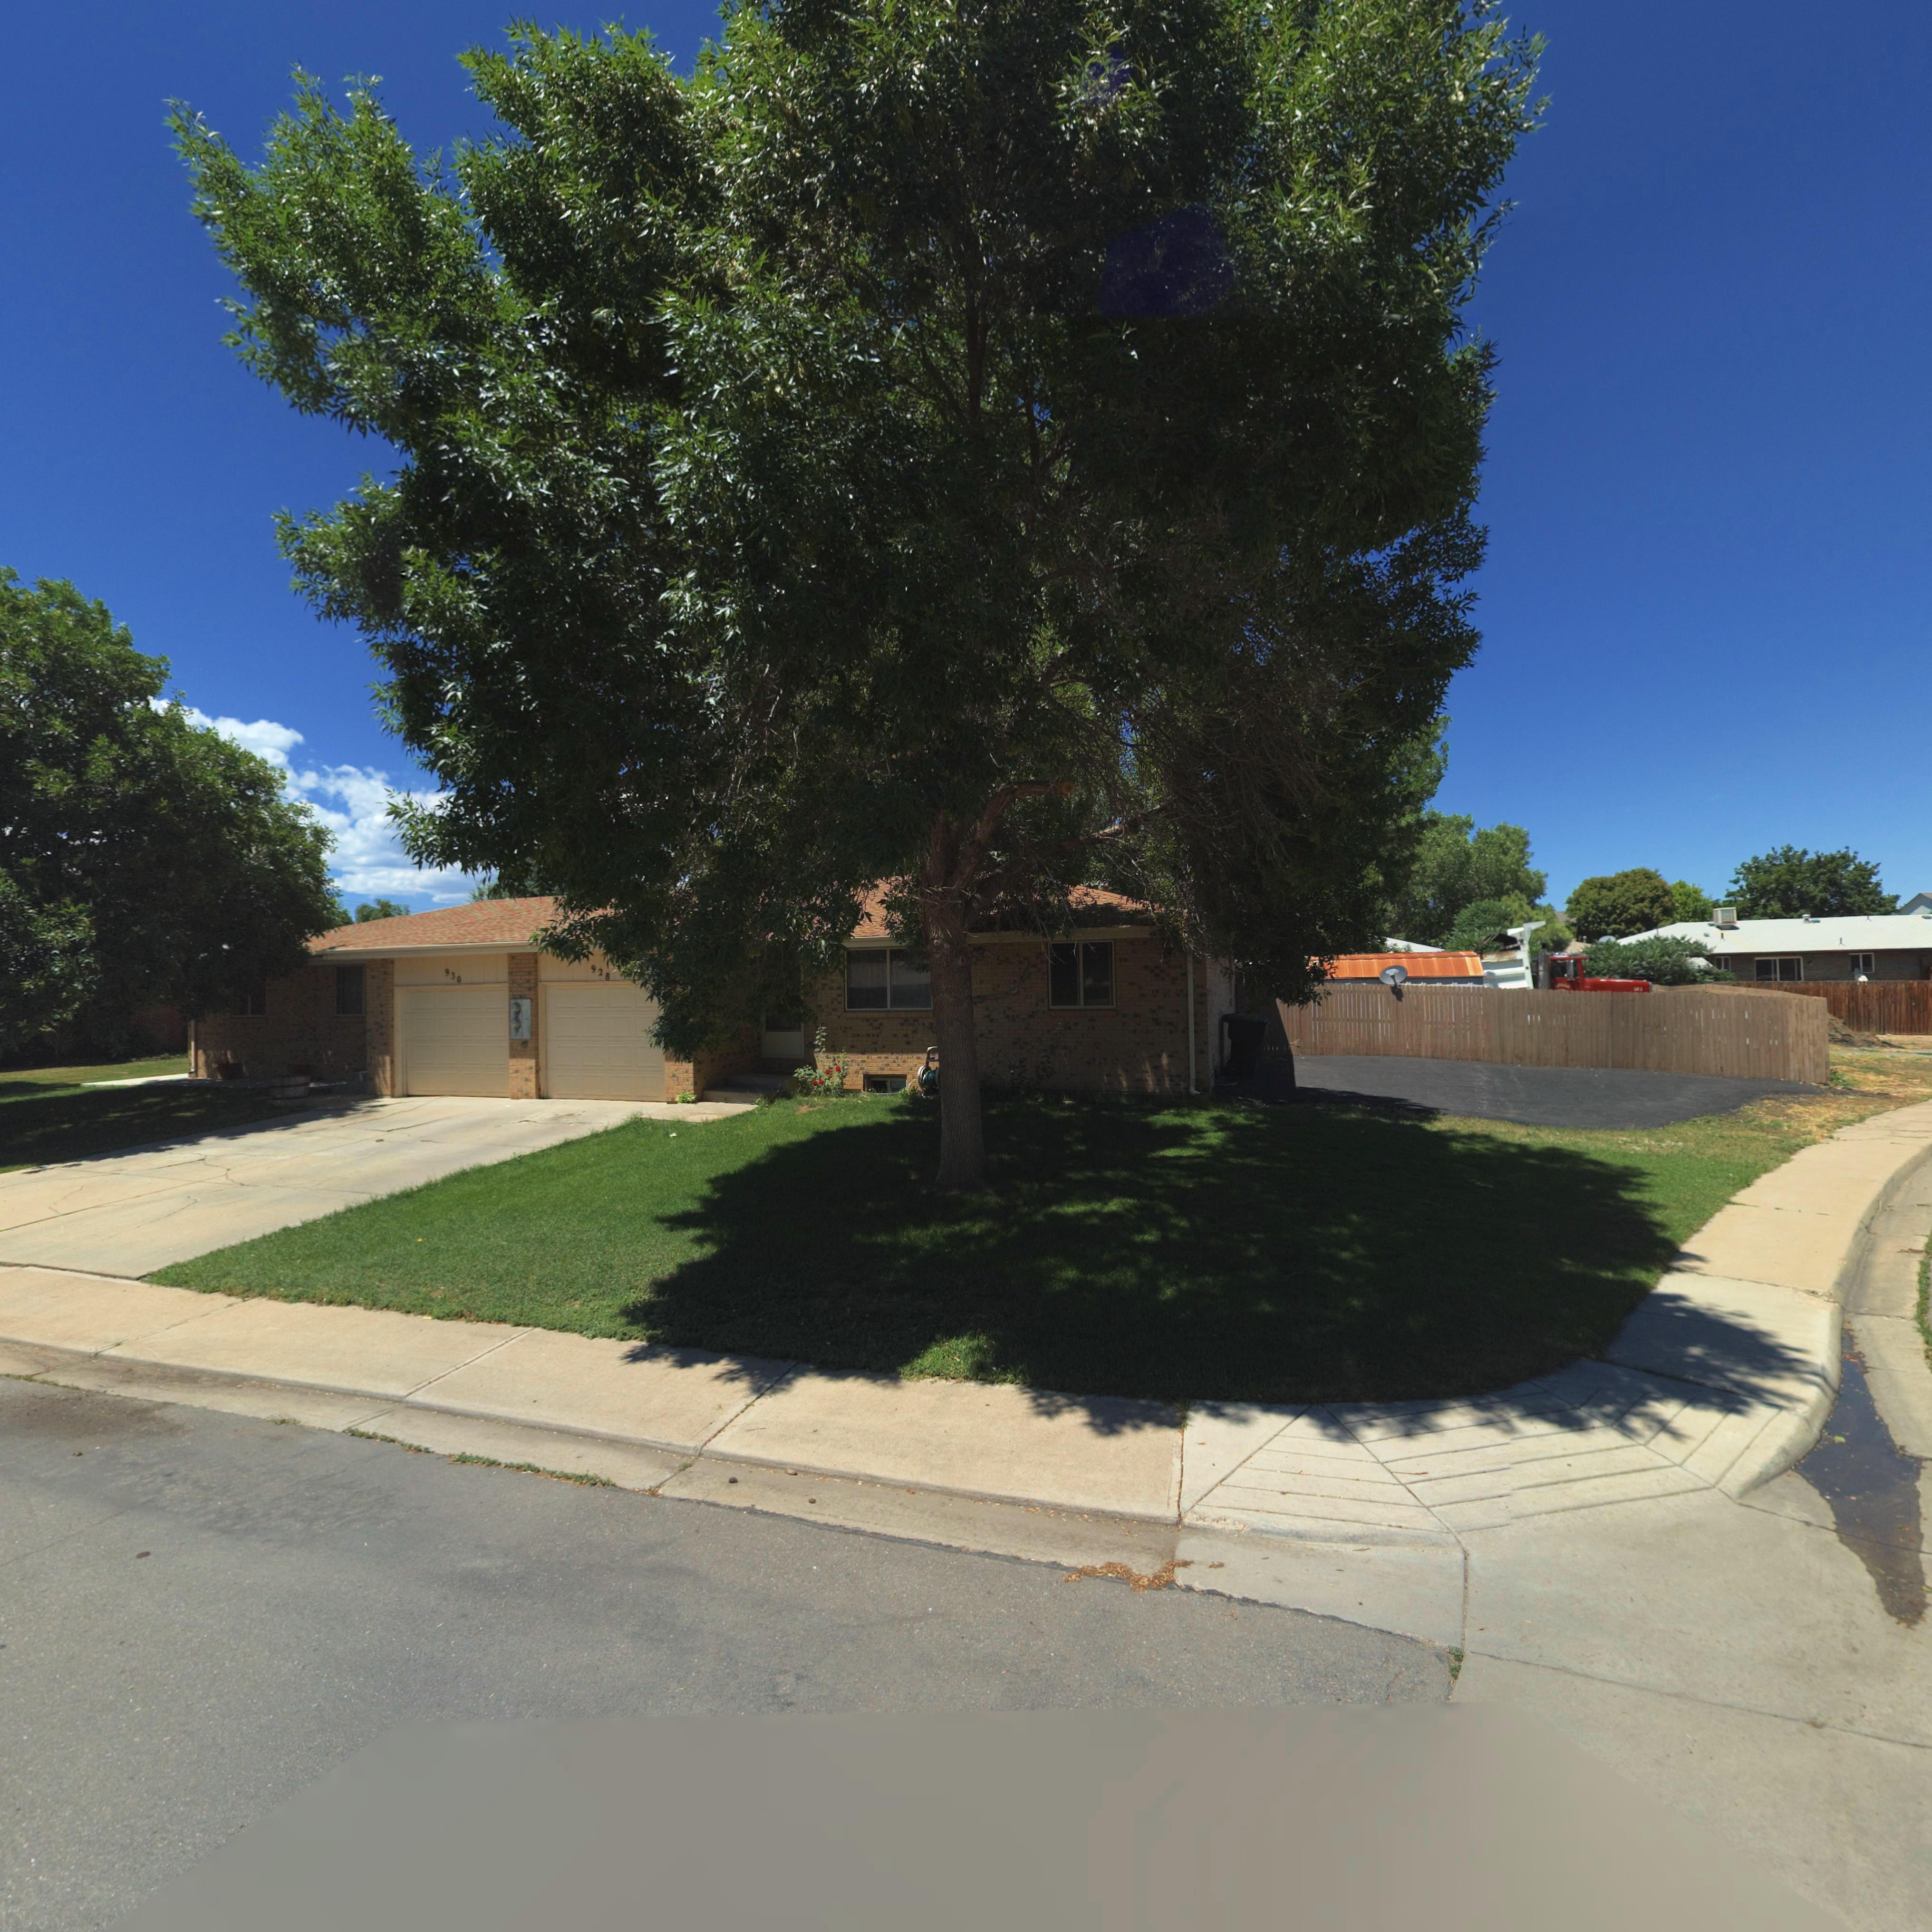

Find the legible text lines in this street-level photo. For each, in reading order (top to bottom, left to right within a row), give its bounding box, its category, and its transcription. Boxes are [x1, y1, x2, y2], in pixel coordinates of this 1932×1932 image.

[444, 968, 461, 983] StreetNumber: 930
[591, 965, 609, 980] StreetNumber: 928